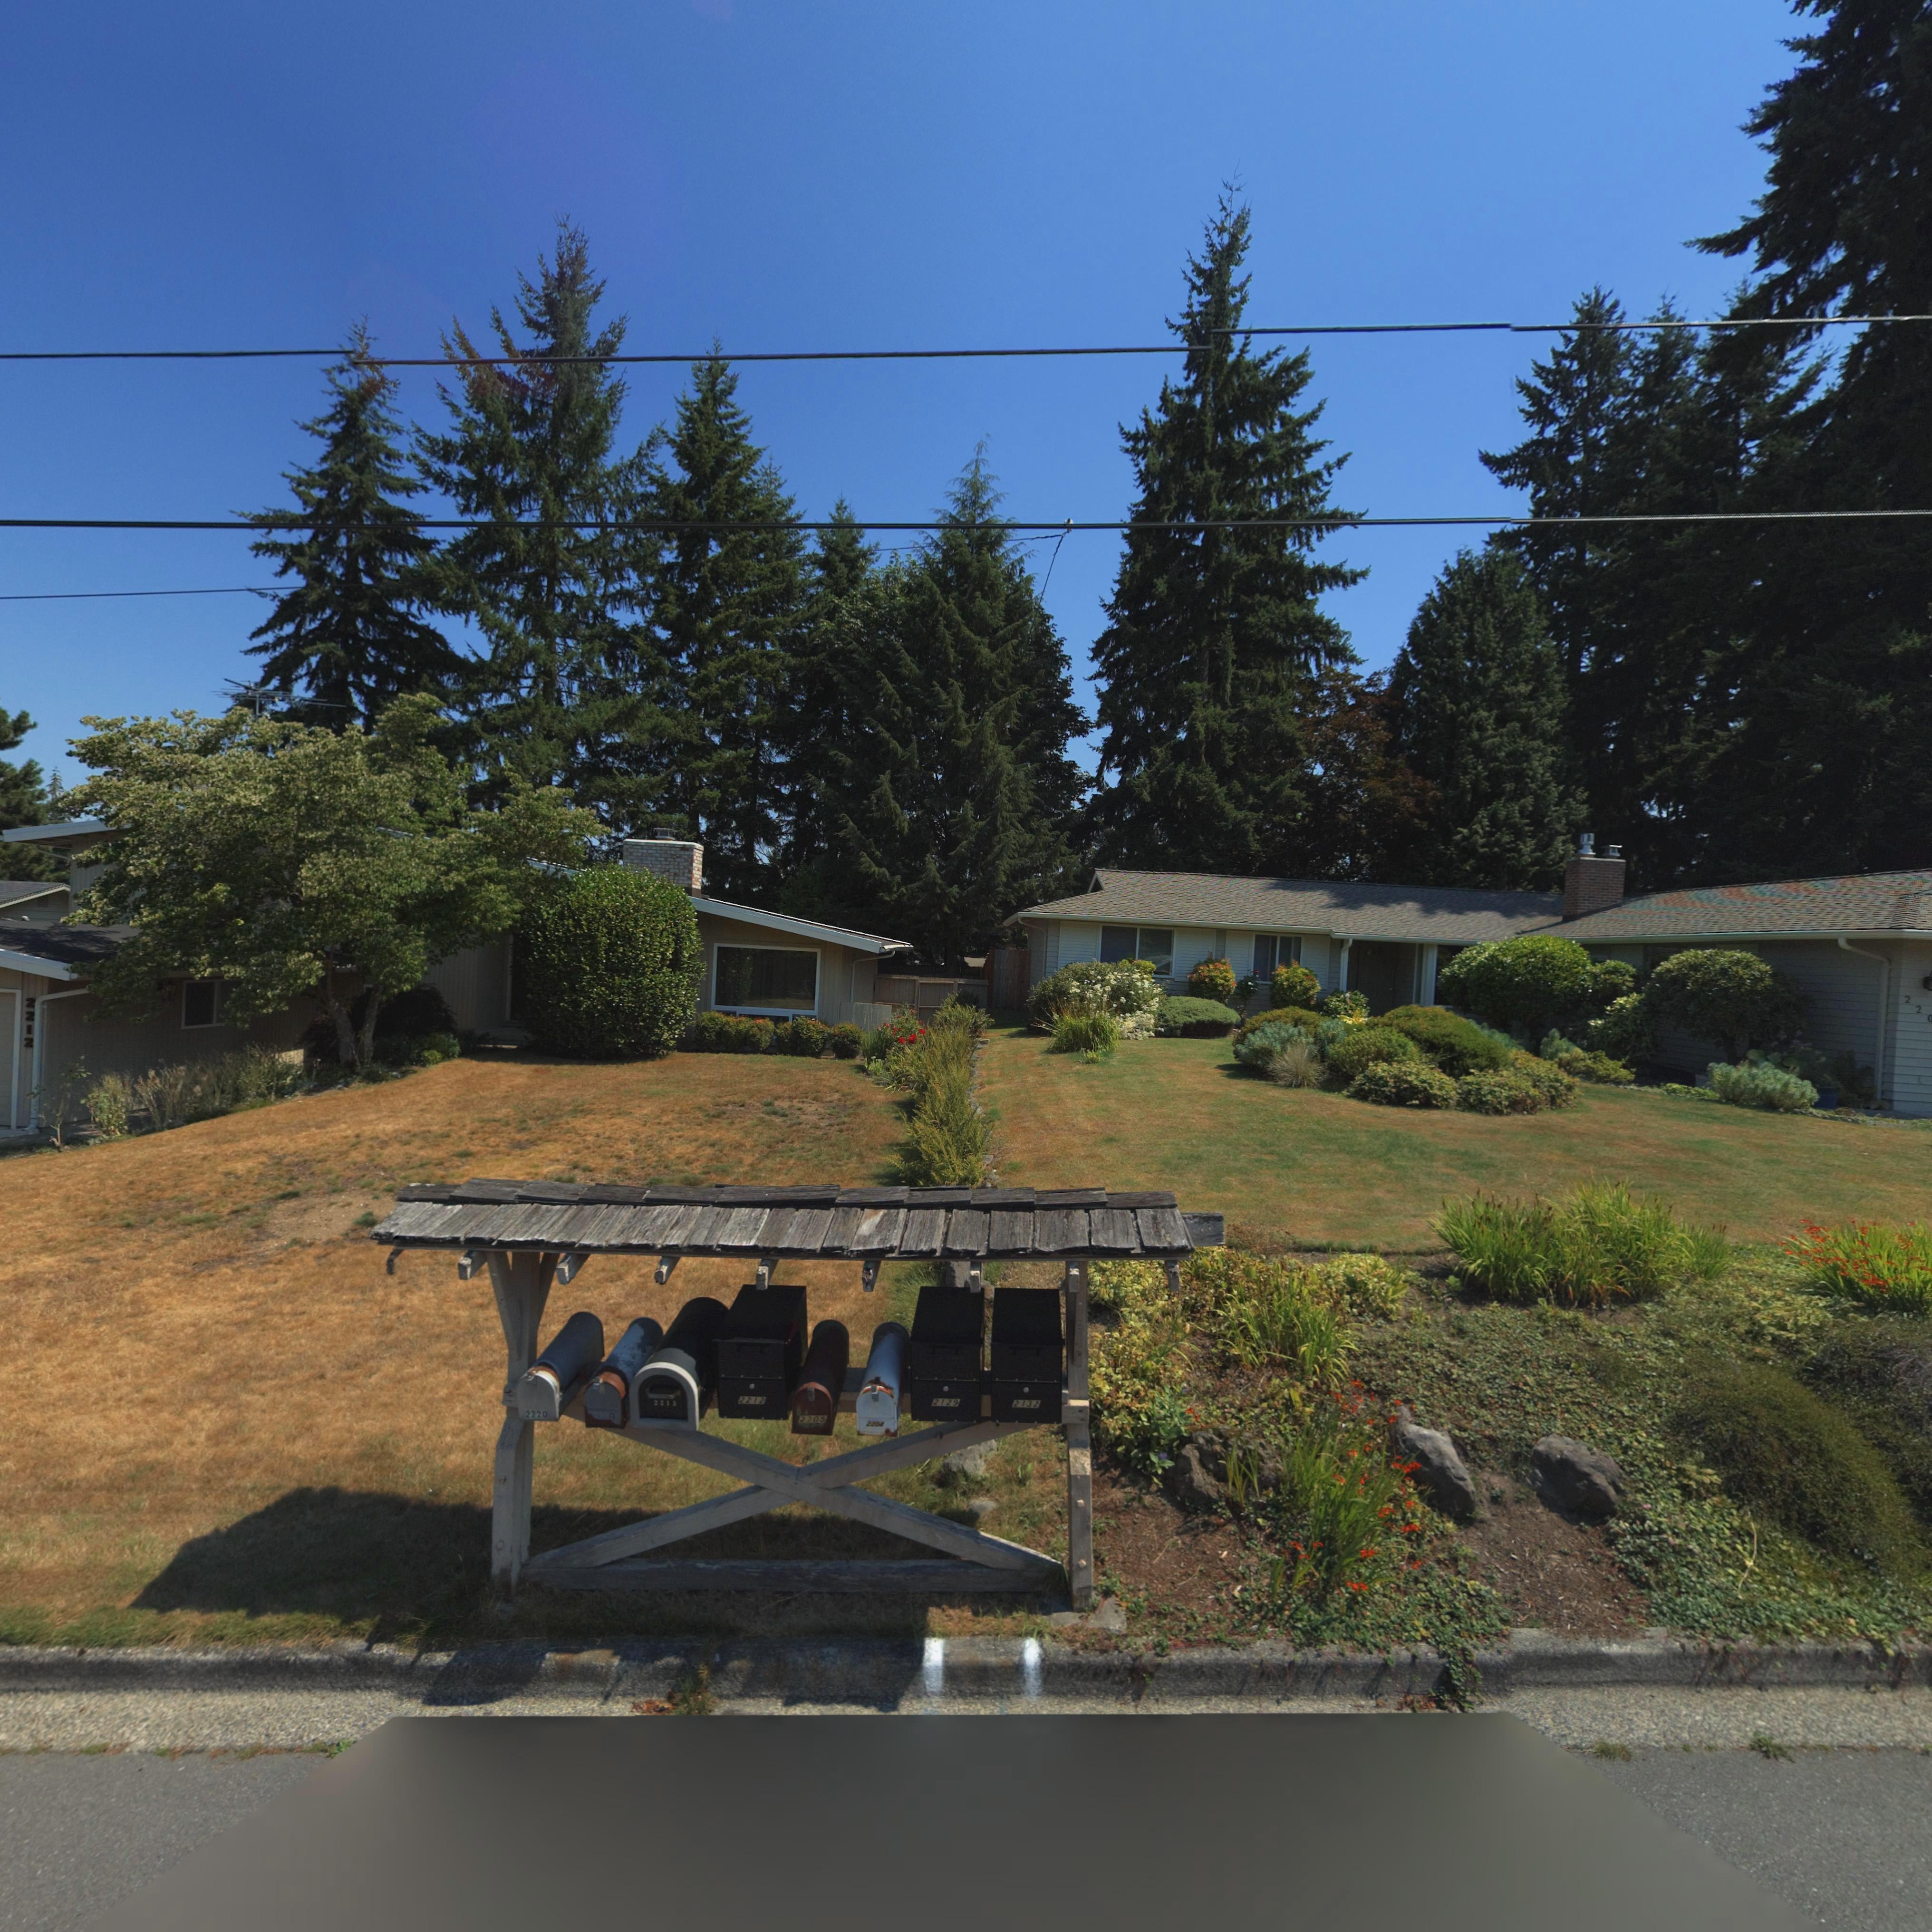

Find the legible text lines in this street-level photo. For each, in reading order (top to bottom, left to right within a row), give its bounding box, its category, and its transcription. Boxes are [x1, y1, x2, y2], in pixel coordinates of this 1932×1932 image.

[654, 1399, 677, 1407] StreetNumber: 221*
[738, 1396, 767, 1405] StreetNumber: 2212
[1011, 1399, 1042, 1409] StreetNumber: 2132
[525, 1410, 547, 1418] StreetNumber: 2220
[798, 1415, 828, 1423] StreetNumber: 2205
[865, 1420, 887, 1428] StreetNumber: 2129